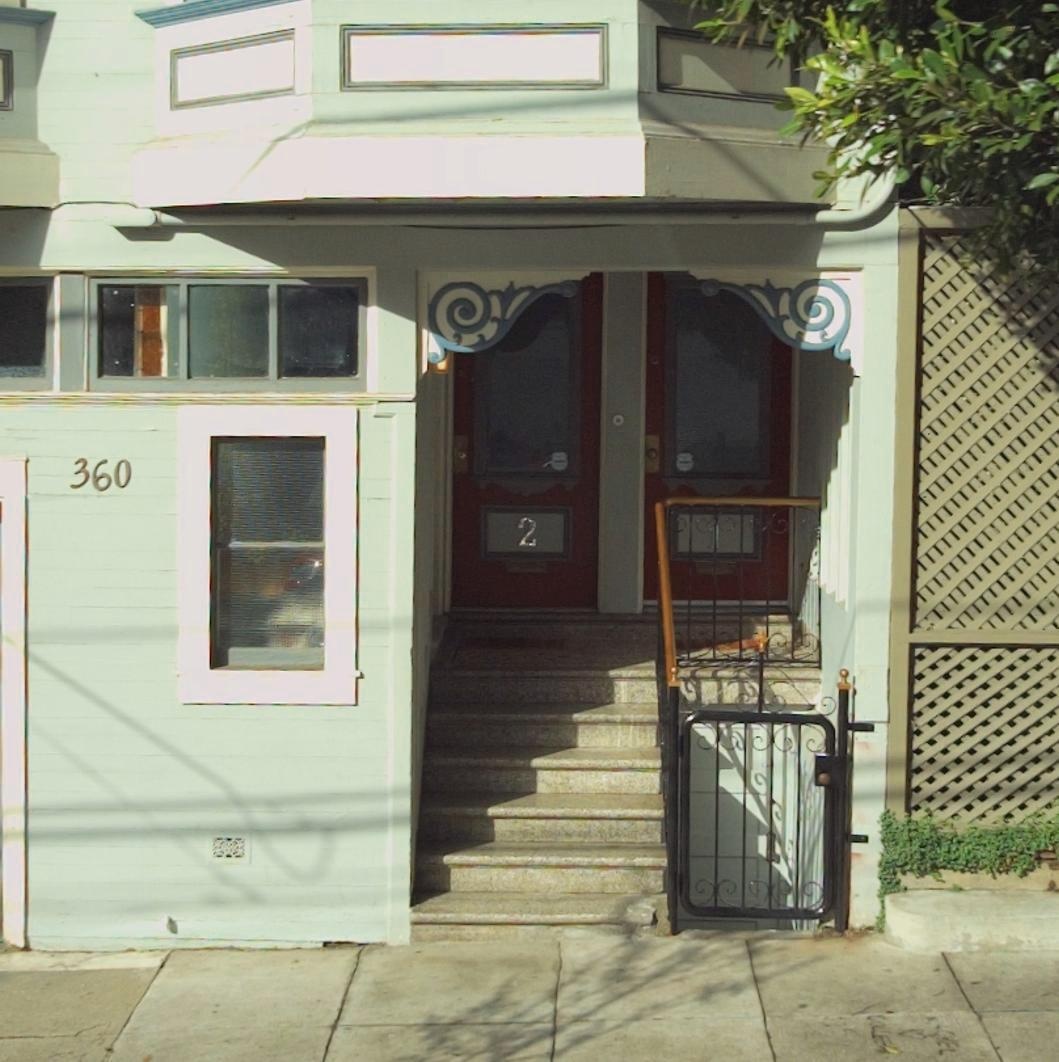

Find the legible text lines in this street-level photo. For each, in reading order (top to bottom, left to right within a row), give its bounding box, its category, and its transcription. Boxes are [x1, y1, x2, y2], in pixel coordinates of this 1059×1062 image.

[68, 454, 135, 492] StreetNumber: 360
[516, 516, 540, 550] StreetNumber: 2
[702, 518, 726, 555] StreetNumber: 1